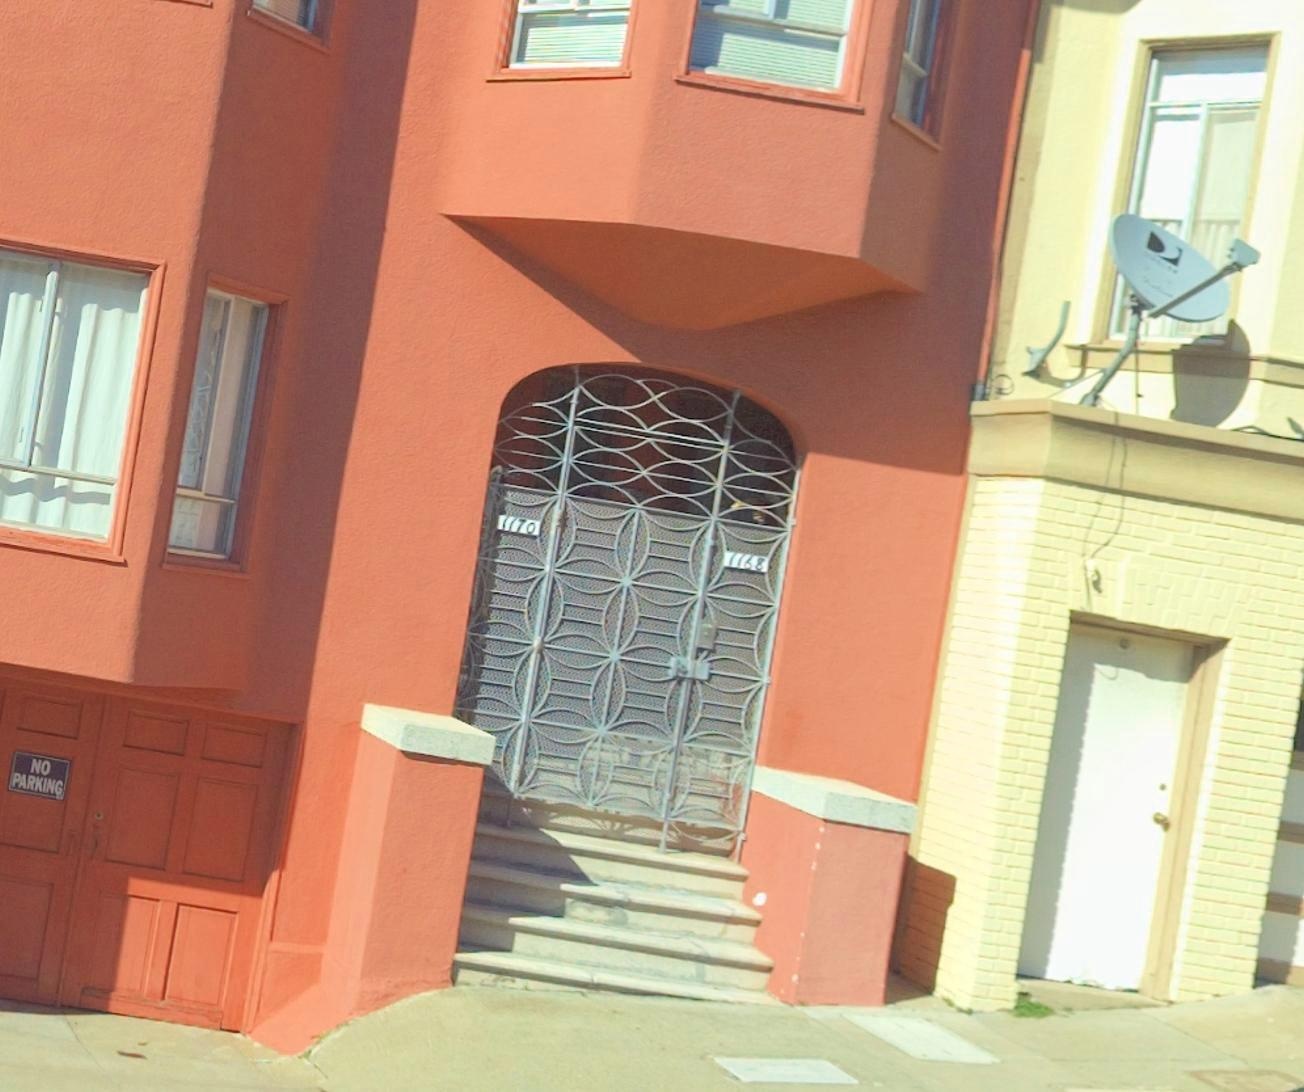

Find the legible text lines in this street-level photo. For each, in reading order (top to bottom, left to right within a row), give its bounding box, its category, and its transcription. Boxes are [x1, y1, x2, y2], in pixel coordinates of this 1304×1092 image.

[500, 514, 538, 537] StreetNumber: 1170
[725, 550, 768, 573] StreetNumber: 1168
[27, 755, 53, 778] None: NO
[10, 770, 65, 798] None: PARKING